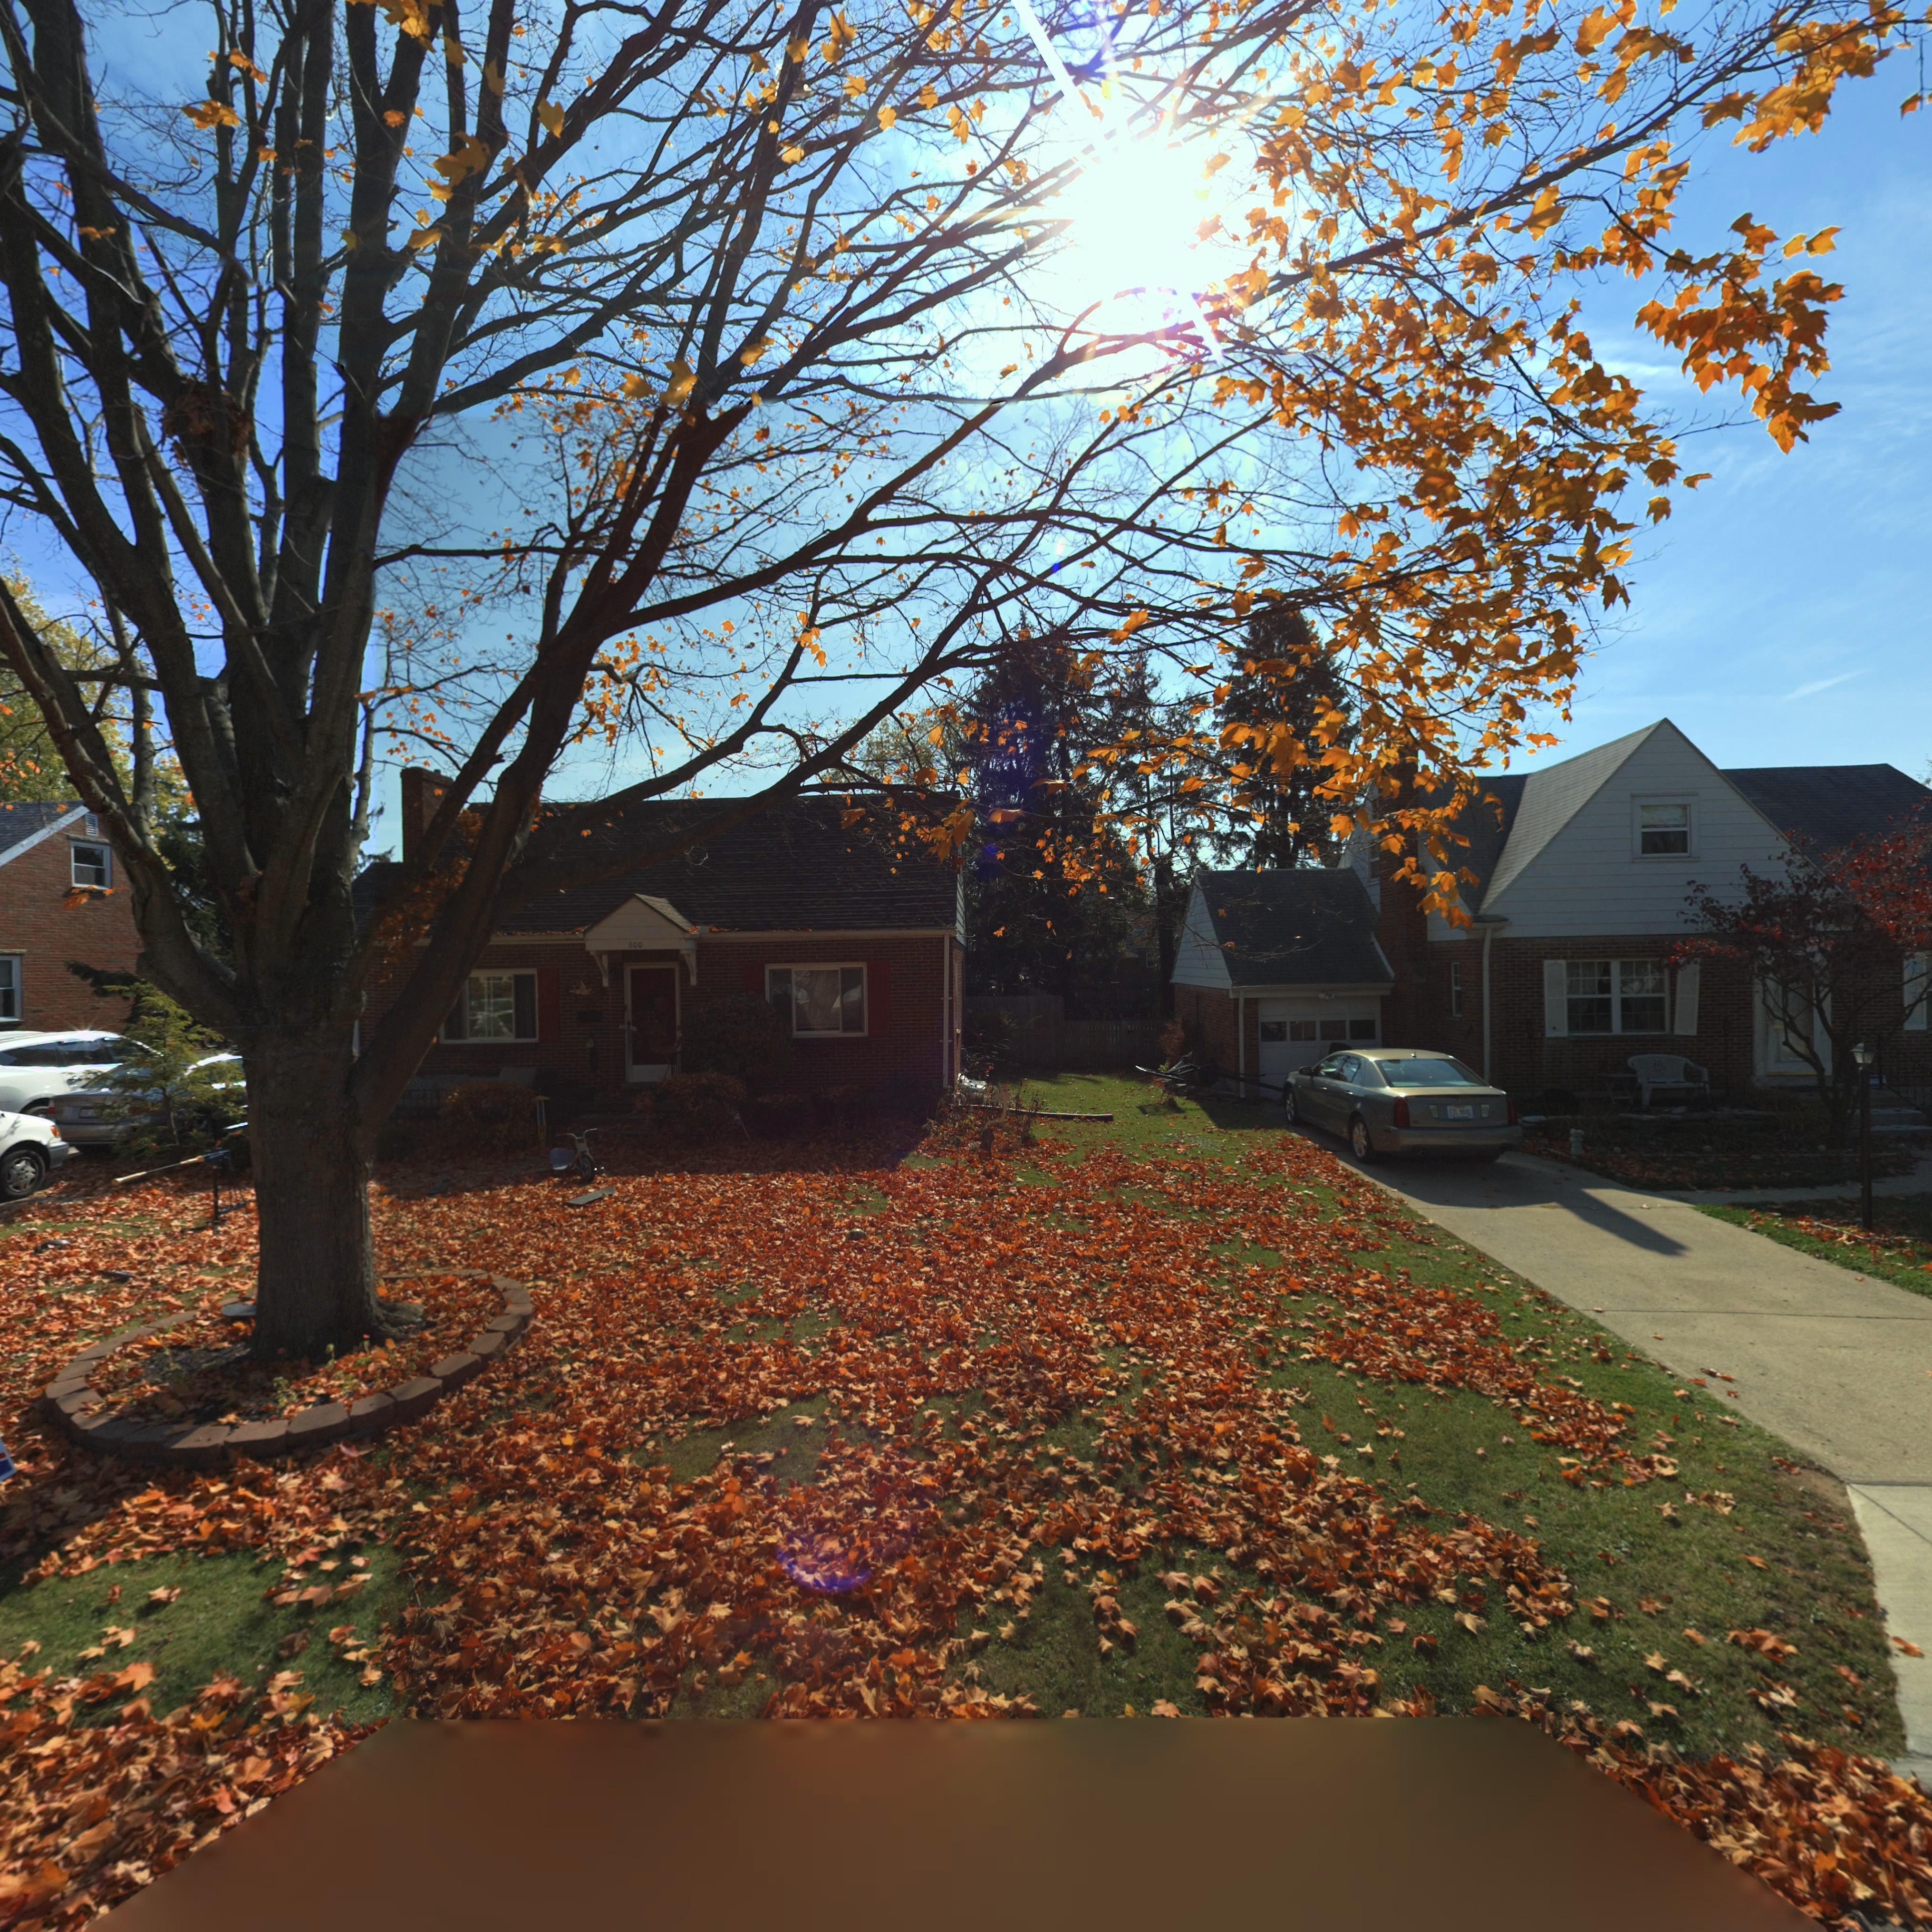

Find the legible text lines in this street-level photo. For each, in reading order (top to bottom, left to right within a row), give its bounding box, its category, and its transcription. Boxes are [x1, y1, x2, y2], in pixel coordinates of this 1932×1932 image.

[628, 941, 643, 948] StreetNumber: 600
[1449, 1108, 1458, 1115] None: FZL